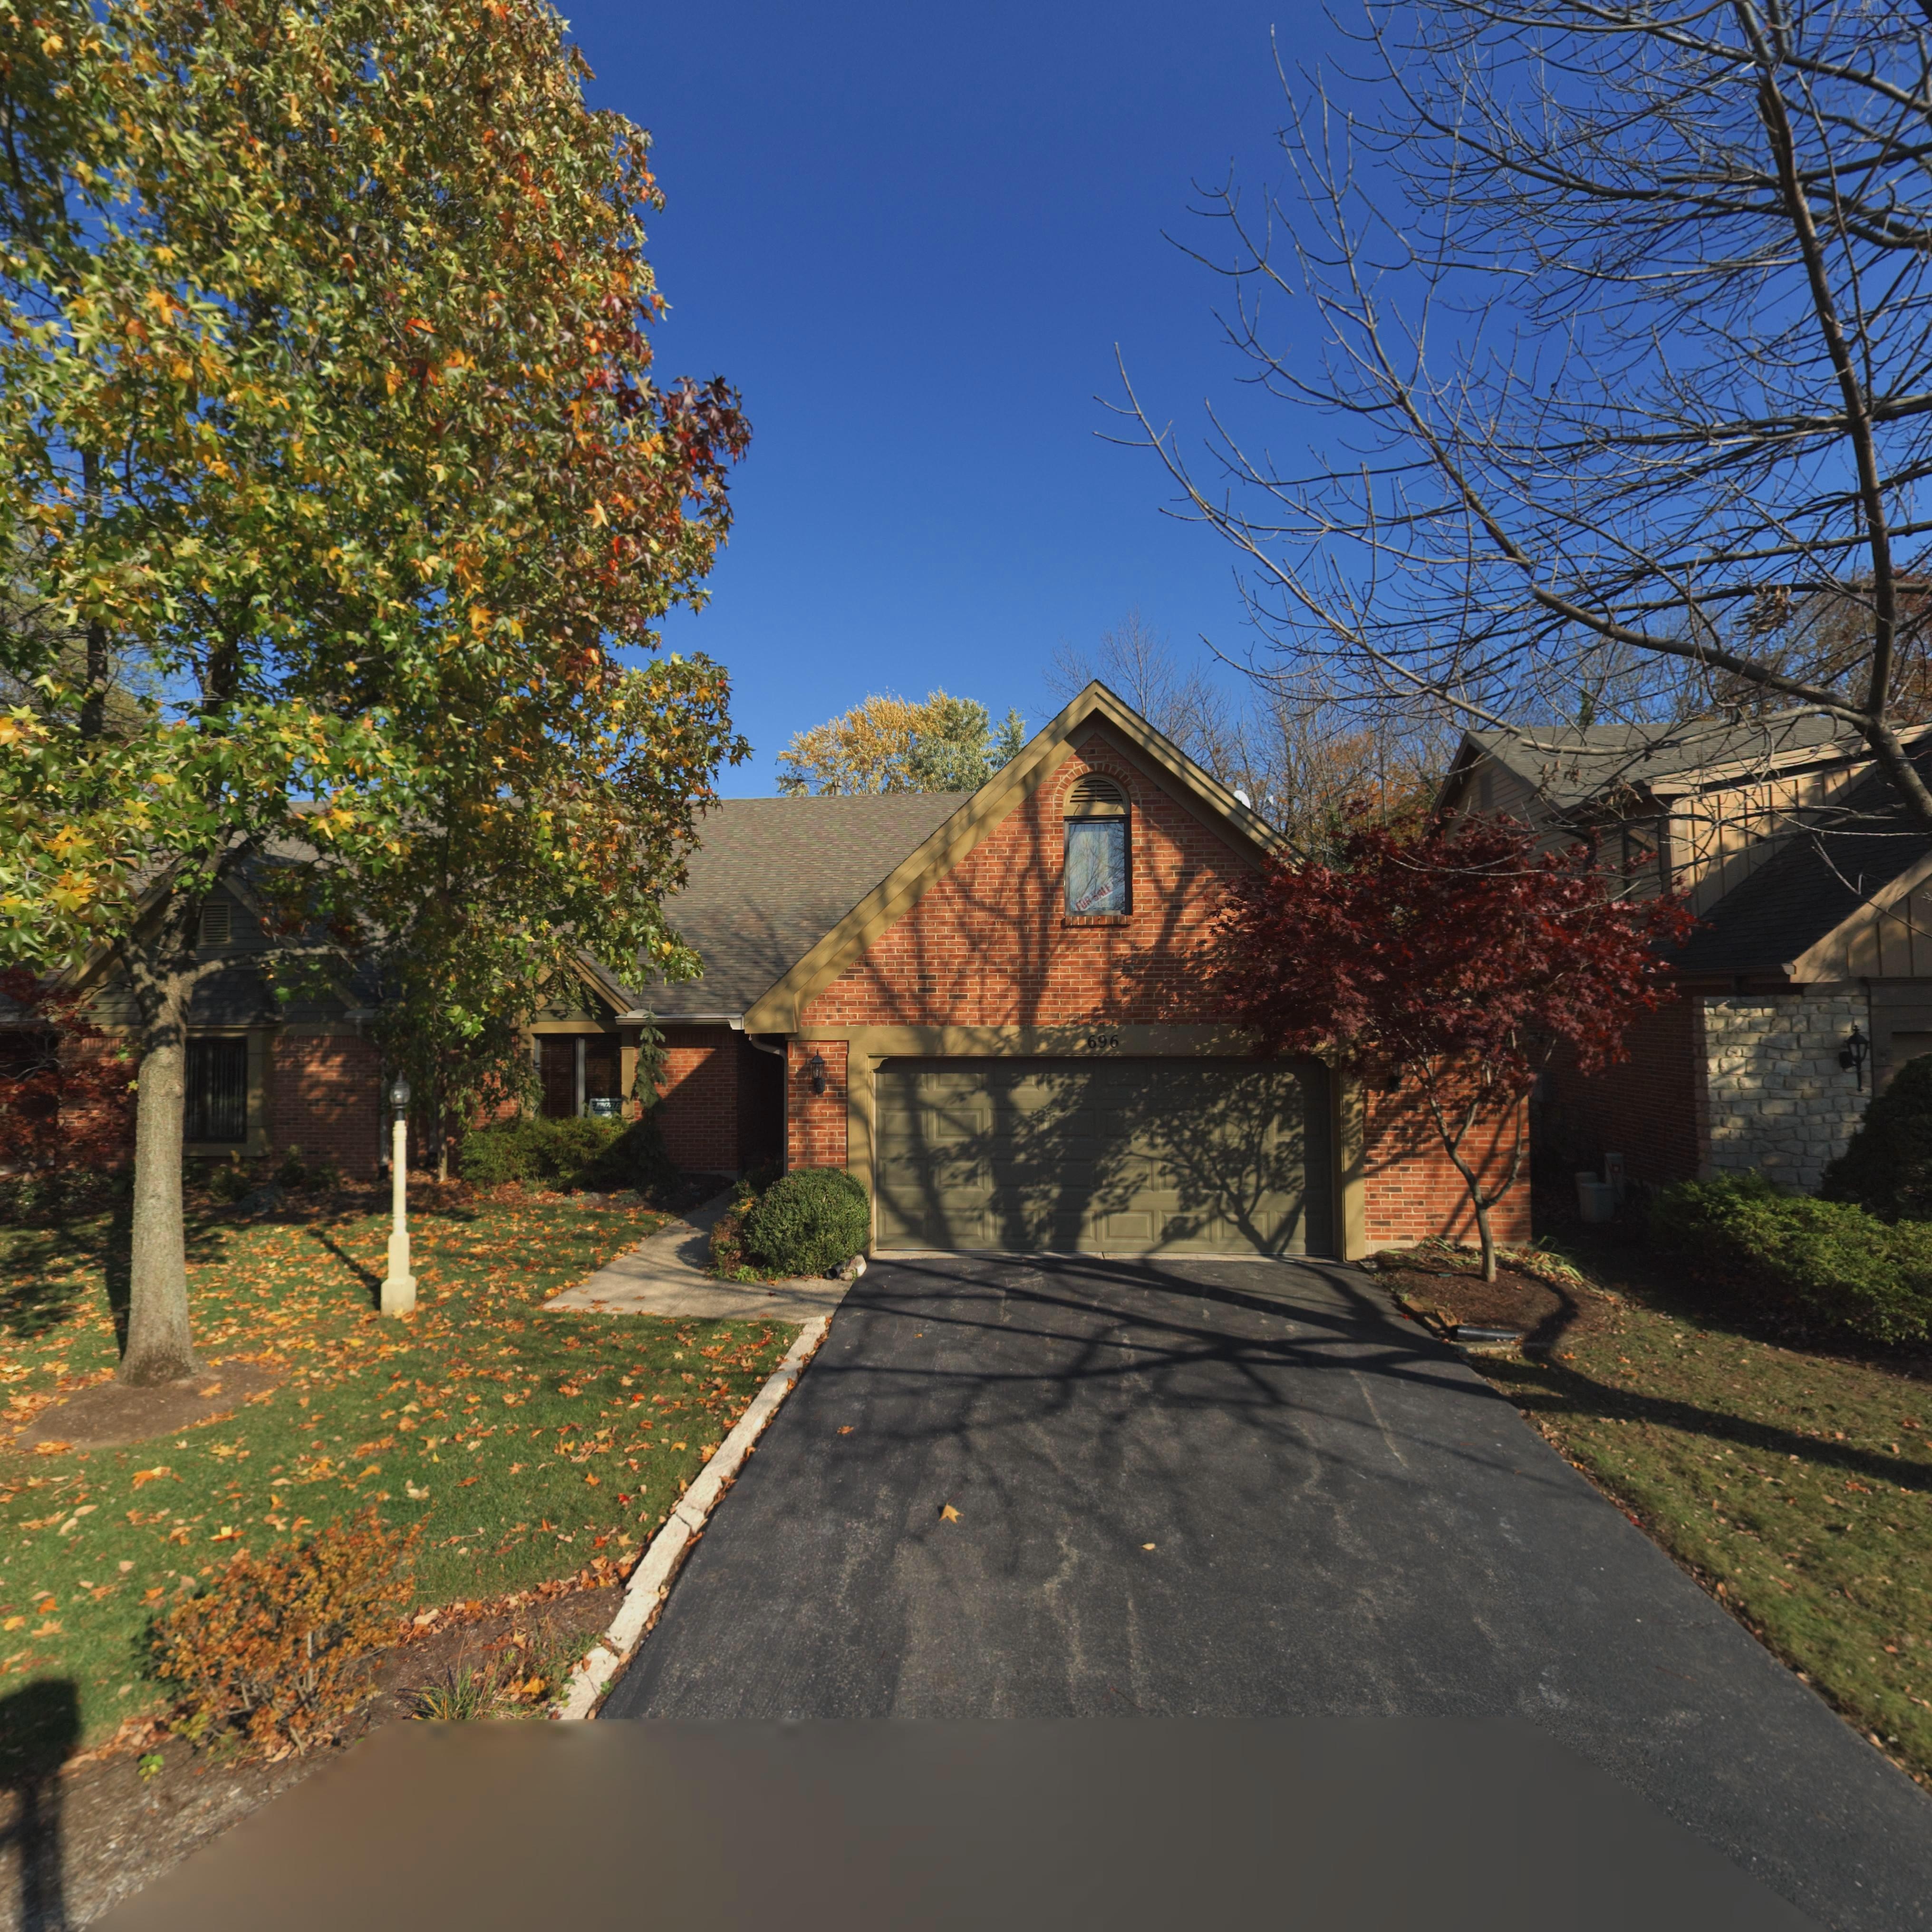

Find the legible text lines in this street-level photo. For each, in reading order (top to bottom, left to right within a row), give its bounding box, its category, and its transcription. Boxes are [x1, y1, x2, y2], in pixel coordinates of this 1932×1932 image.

[1086, 1033, 1121, 1050] StreetNumber: 696